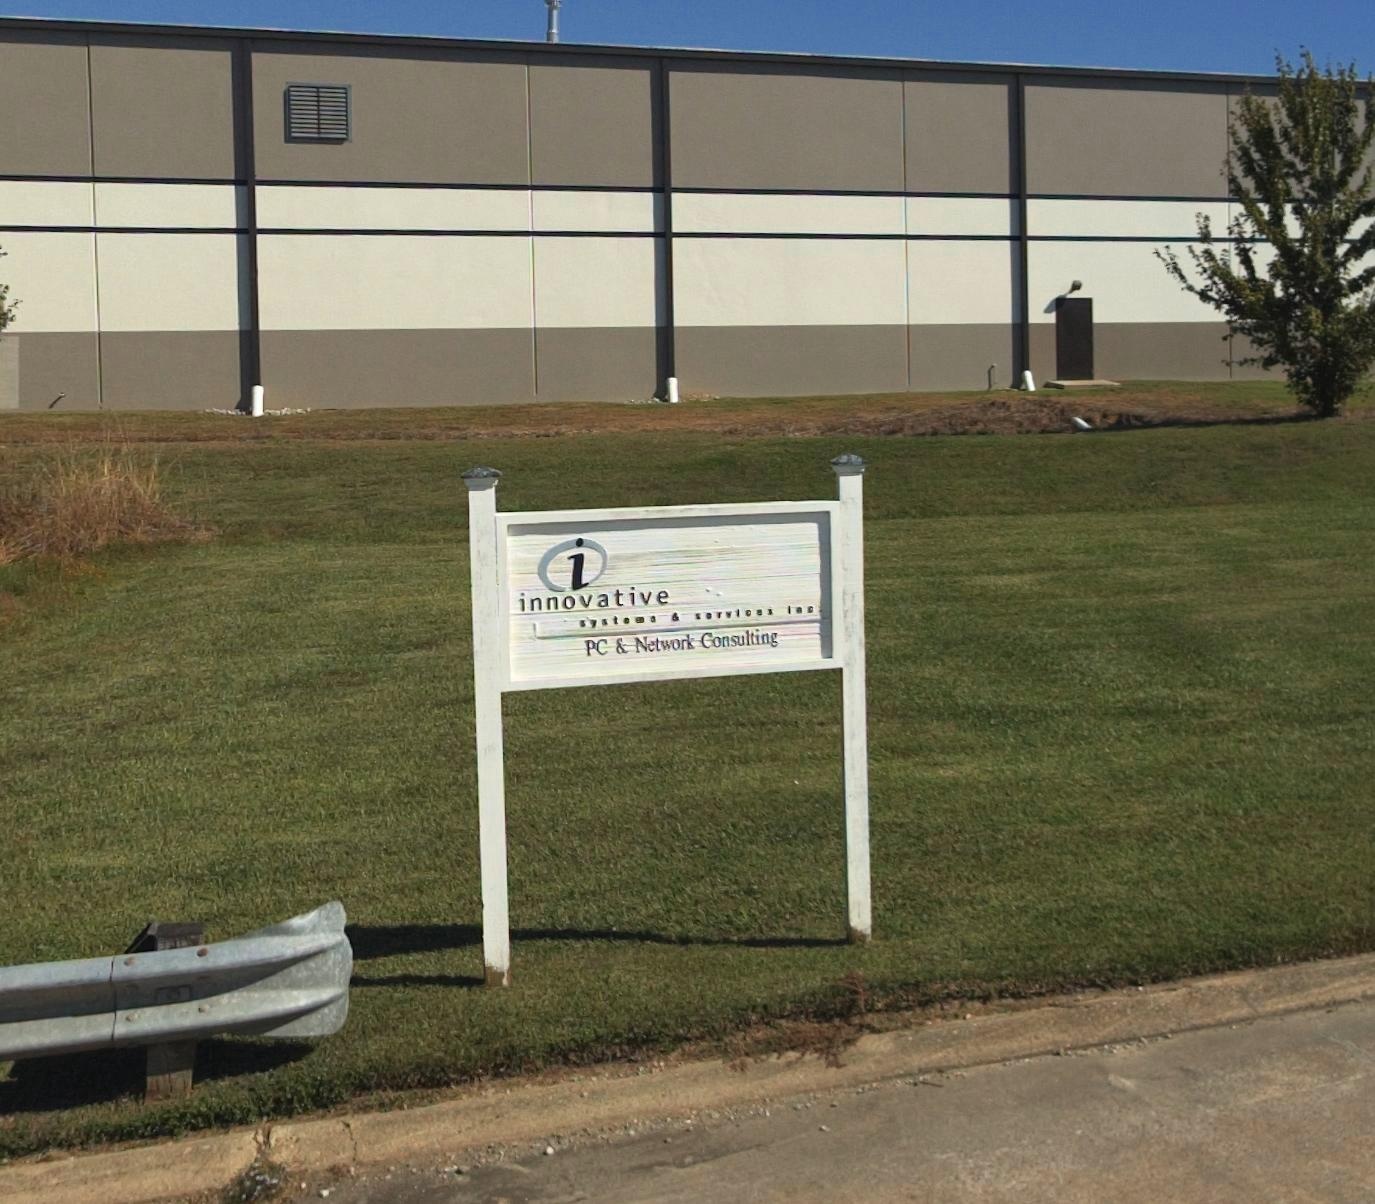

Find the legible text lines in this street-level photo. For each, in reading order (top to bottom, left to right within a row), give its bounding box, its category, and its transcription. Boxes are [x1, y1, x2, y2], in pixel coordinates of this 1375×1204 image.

[516, 583, 672, 615] BusinessName: innovative
[576, 602, 816, 631] BusinessName: systems & services Inc
[580, 626, 783, 660] None: PC & Network Consulting